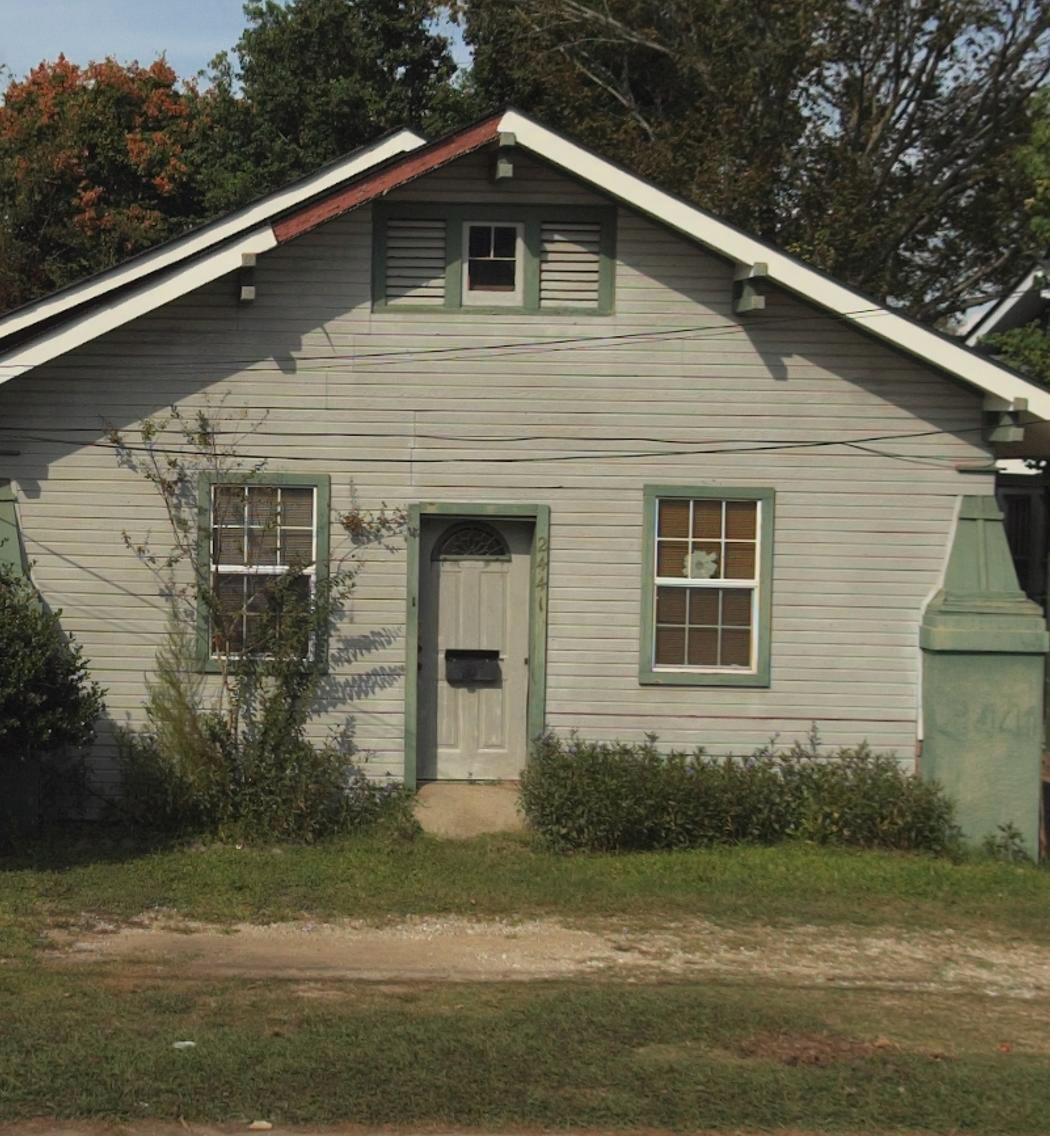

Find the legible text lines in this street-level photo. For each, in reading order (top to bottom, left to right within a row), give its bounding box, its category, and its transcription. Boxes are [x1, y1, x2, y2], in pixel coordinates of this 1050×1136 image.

[533, 535, 550, 617] StreetNumber: 2441